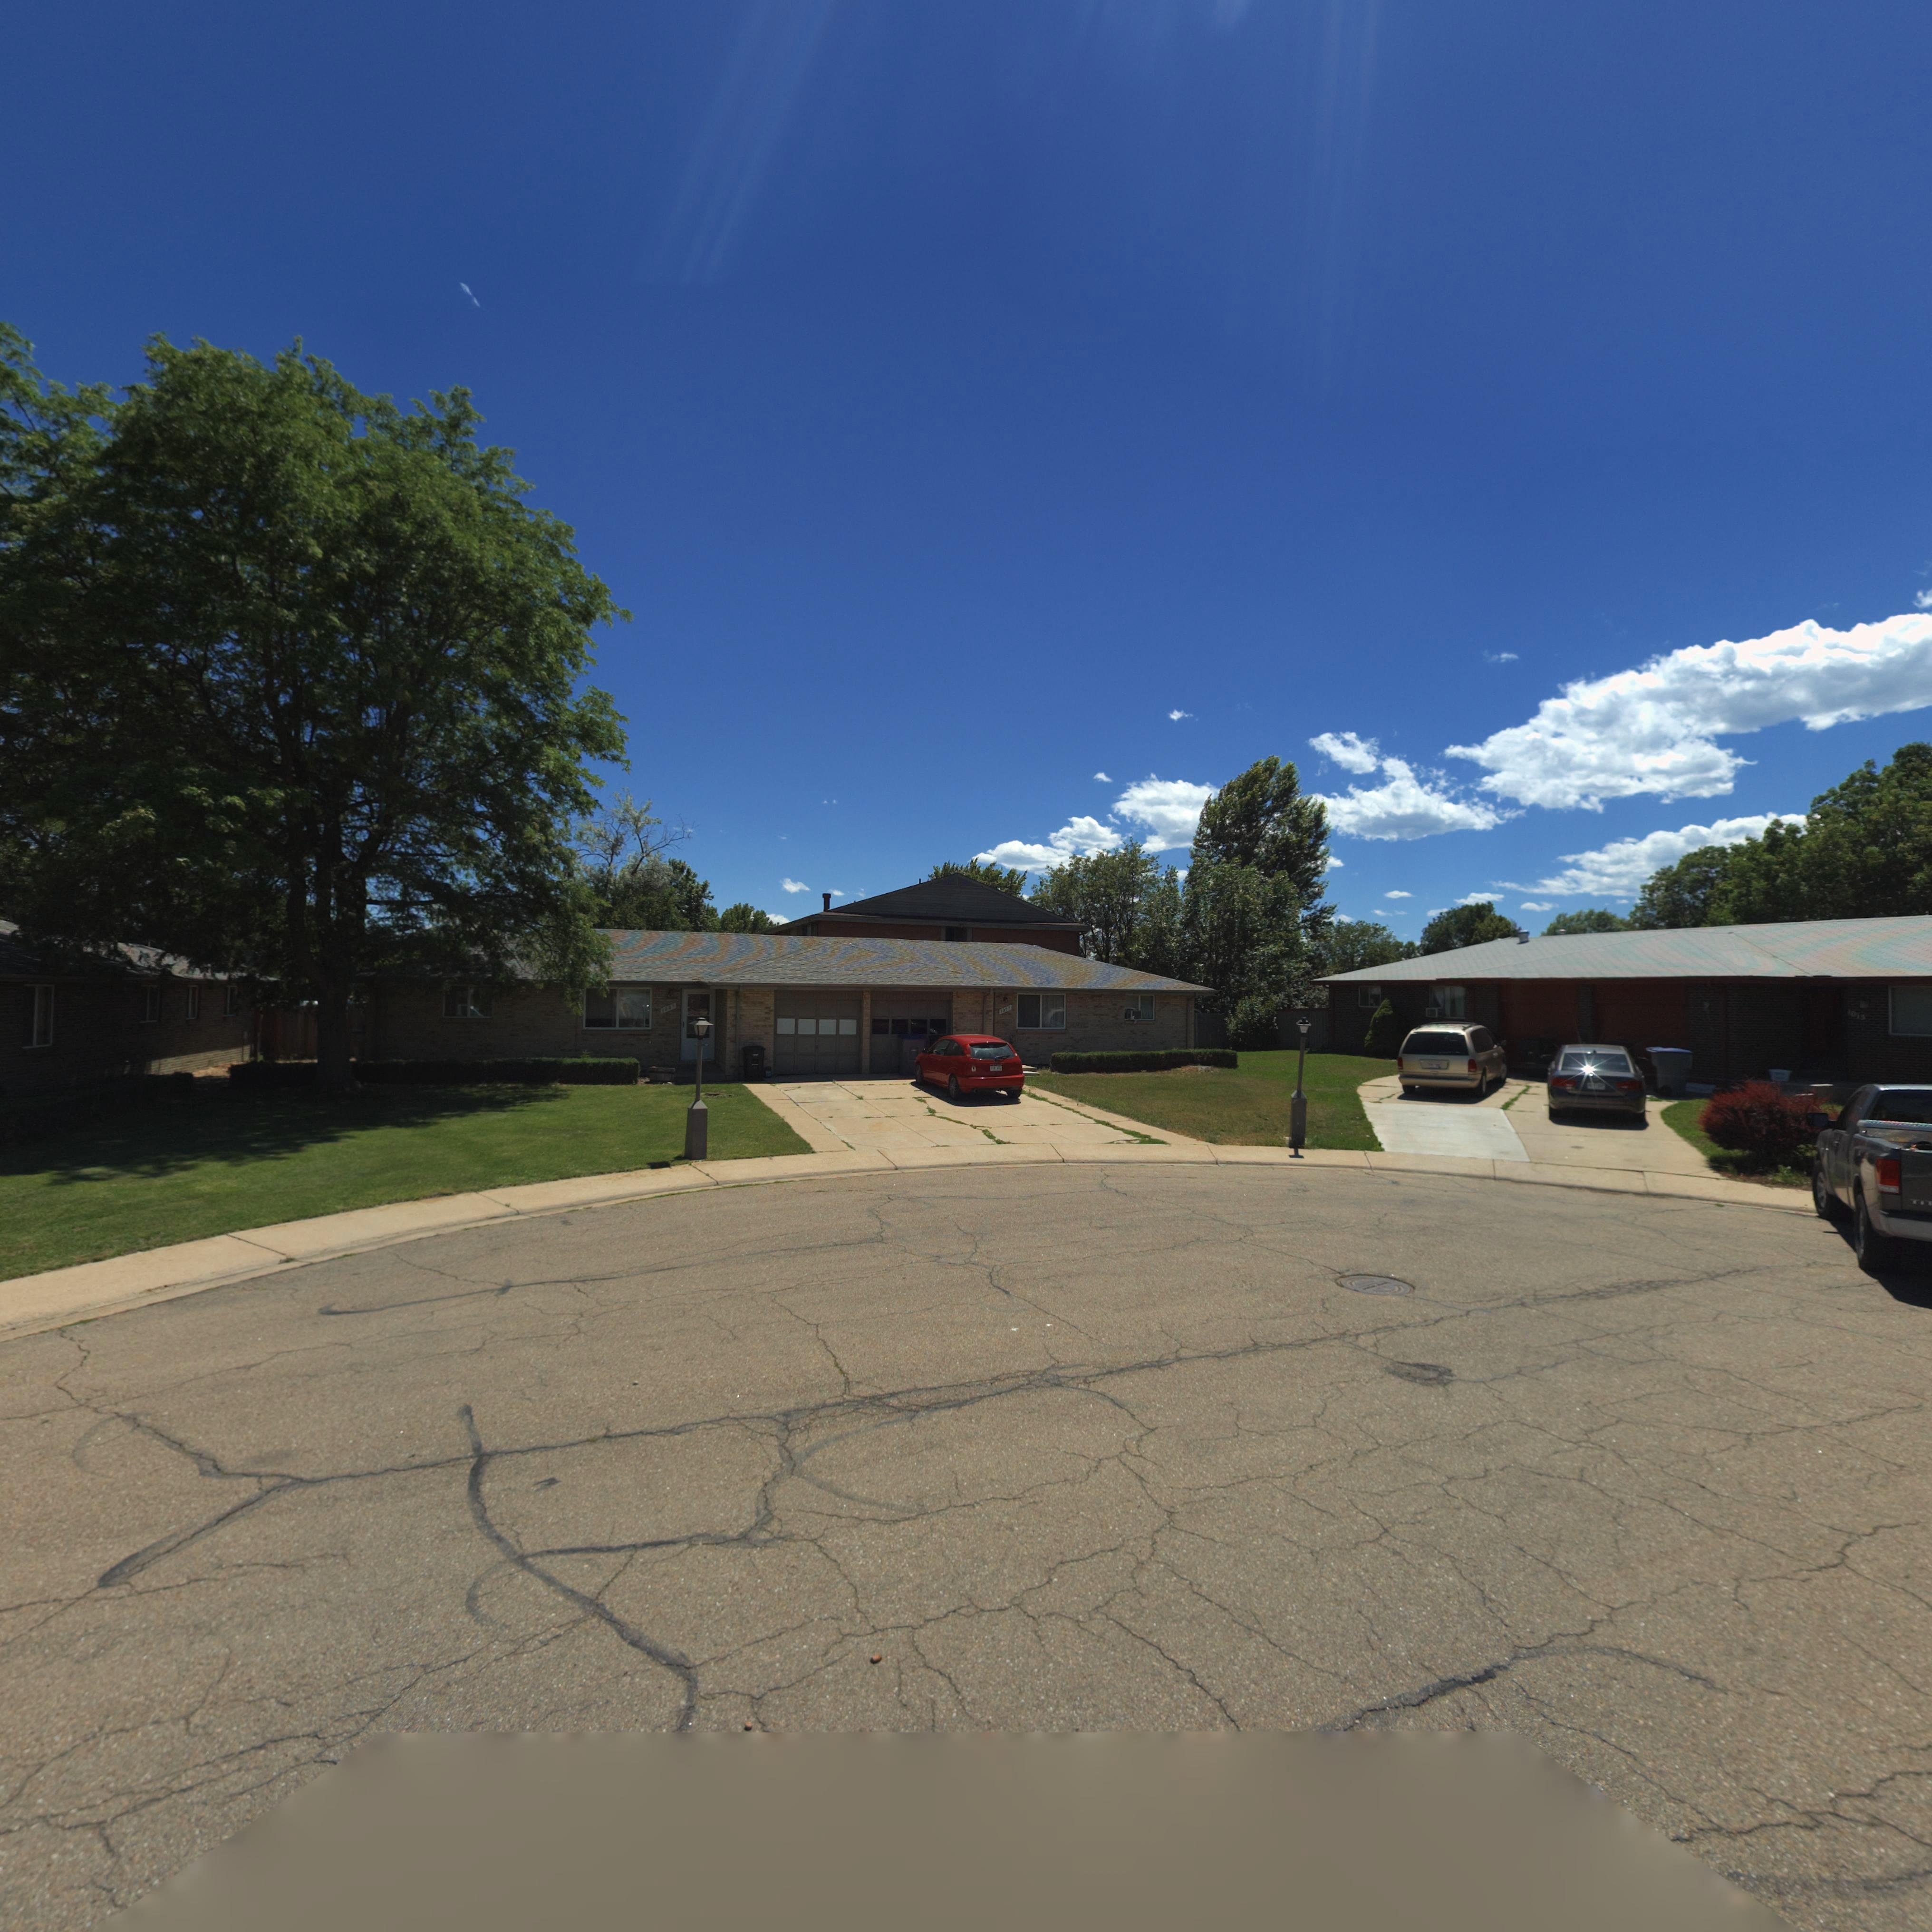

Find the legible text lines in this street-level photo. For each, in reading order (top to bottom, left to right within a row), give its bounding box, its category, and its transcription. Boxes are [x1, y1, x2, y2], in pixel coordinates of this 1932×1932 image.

[662, 1004, 675, 1013] StreetNumber: 1007
[1000, 1005, 1011, 1014] StreetNumber: 10**
[1846, 1008, 1867, 1021] StreetNumber: 1013